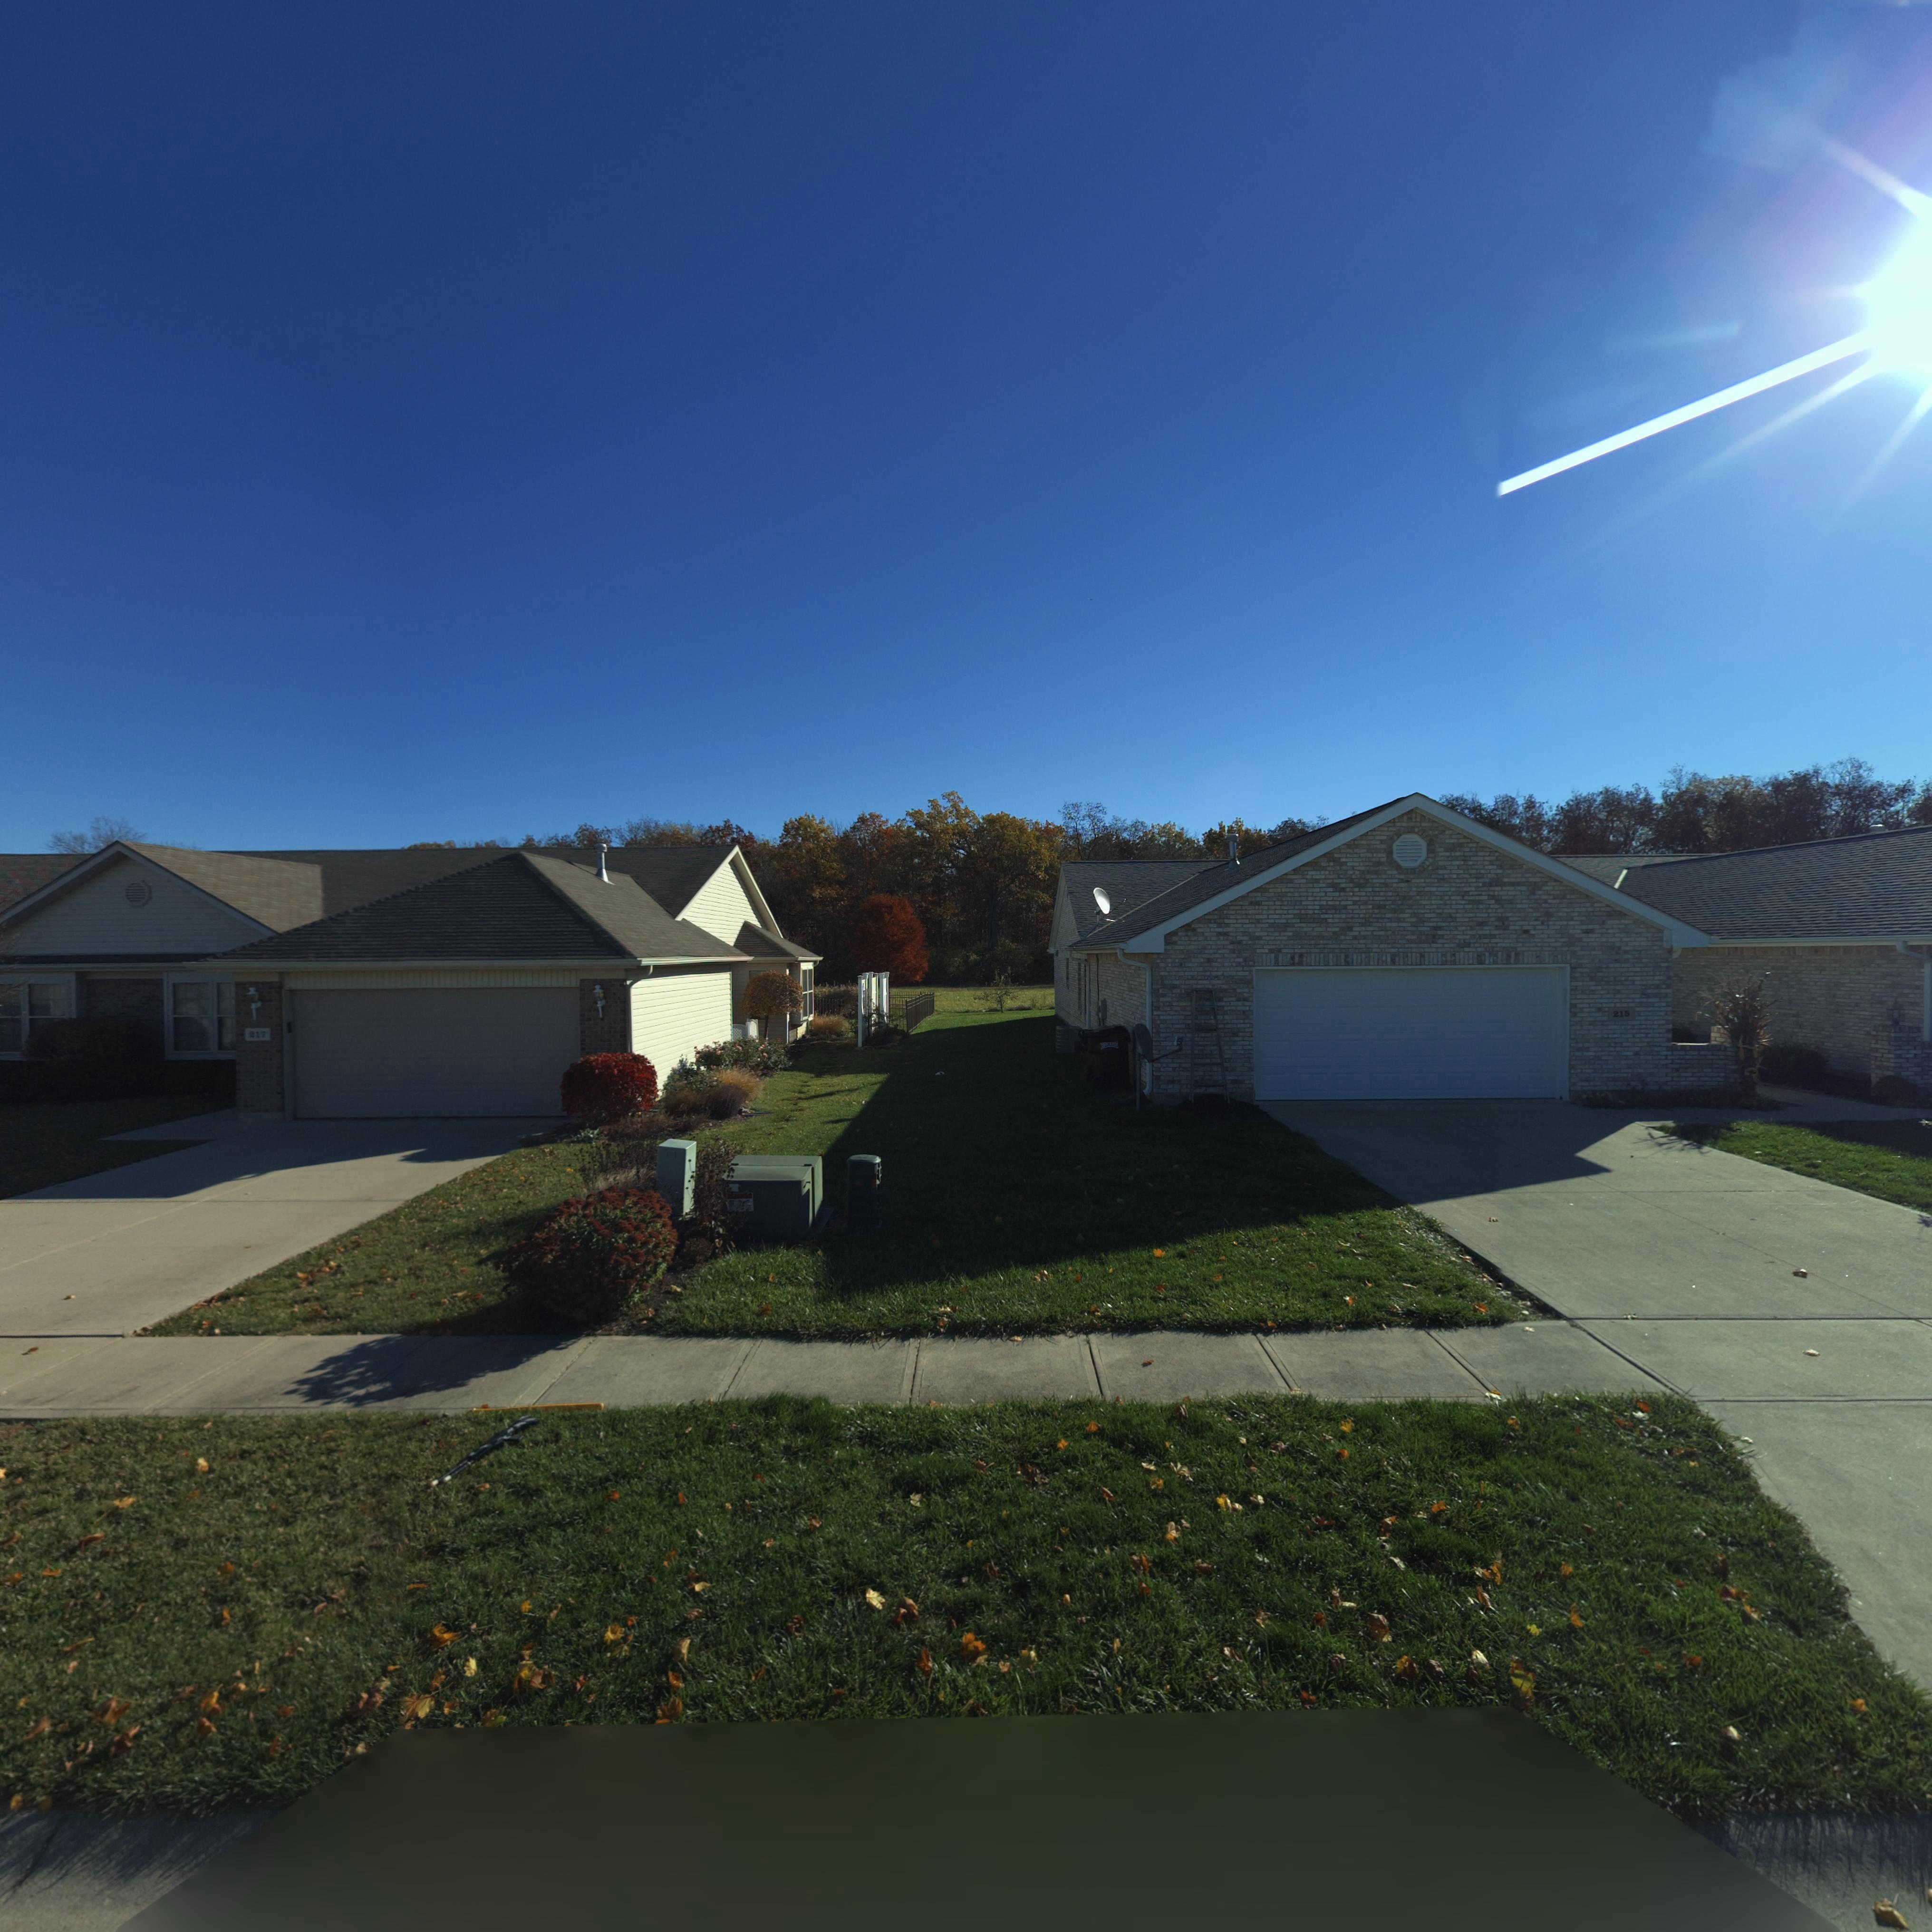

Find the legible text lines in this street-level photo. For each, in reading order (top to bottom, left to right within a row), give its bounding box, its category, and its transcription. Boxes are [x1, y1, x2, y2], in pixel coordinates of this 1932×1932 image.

[1612, 1010, 1631, 1018] StreetNumber: 215
[248, 1030, 267, 1039] StreetNumber: 217